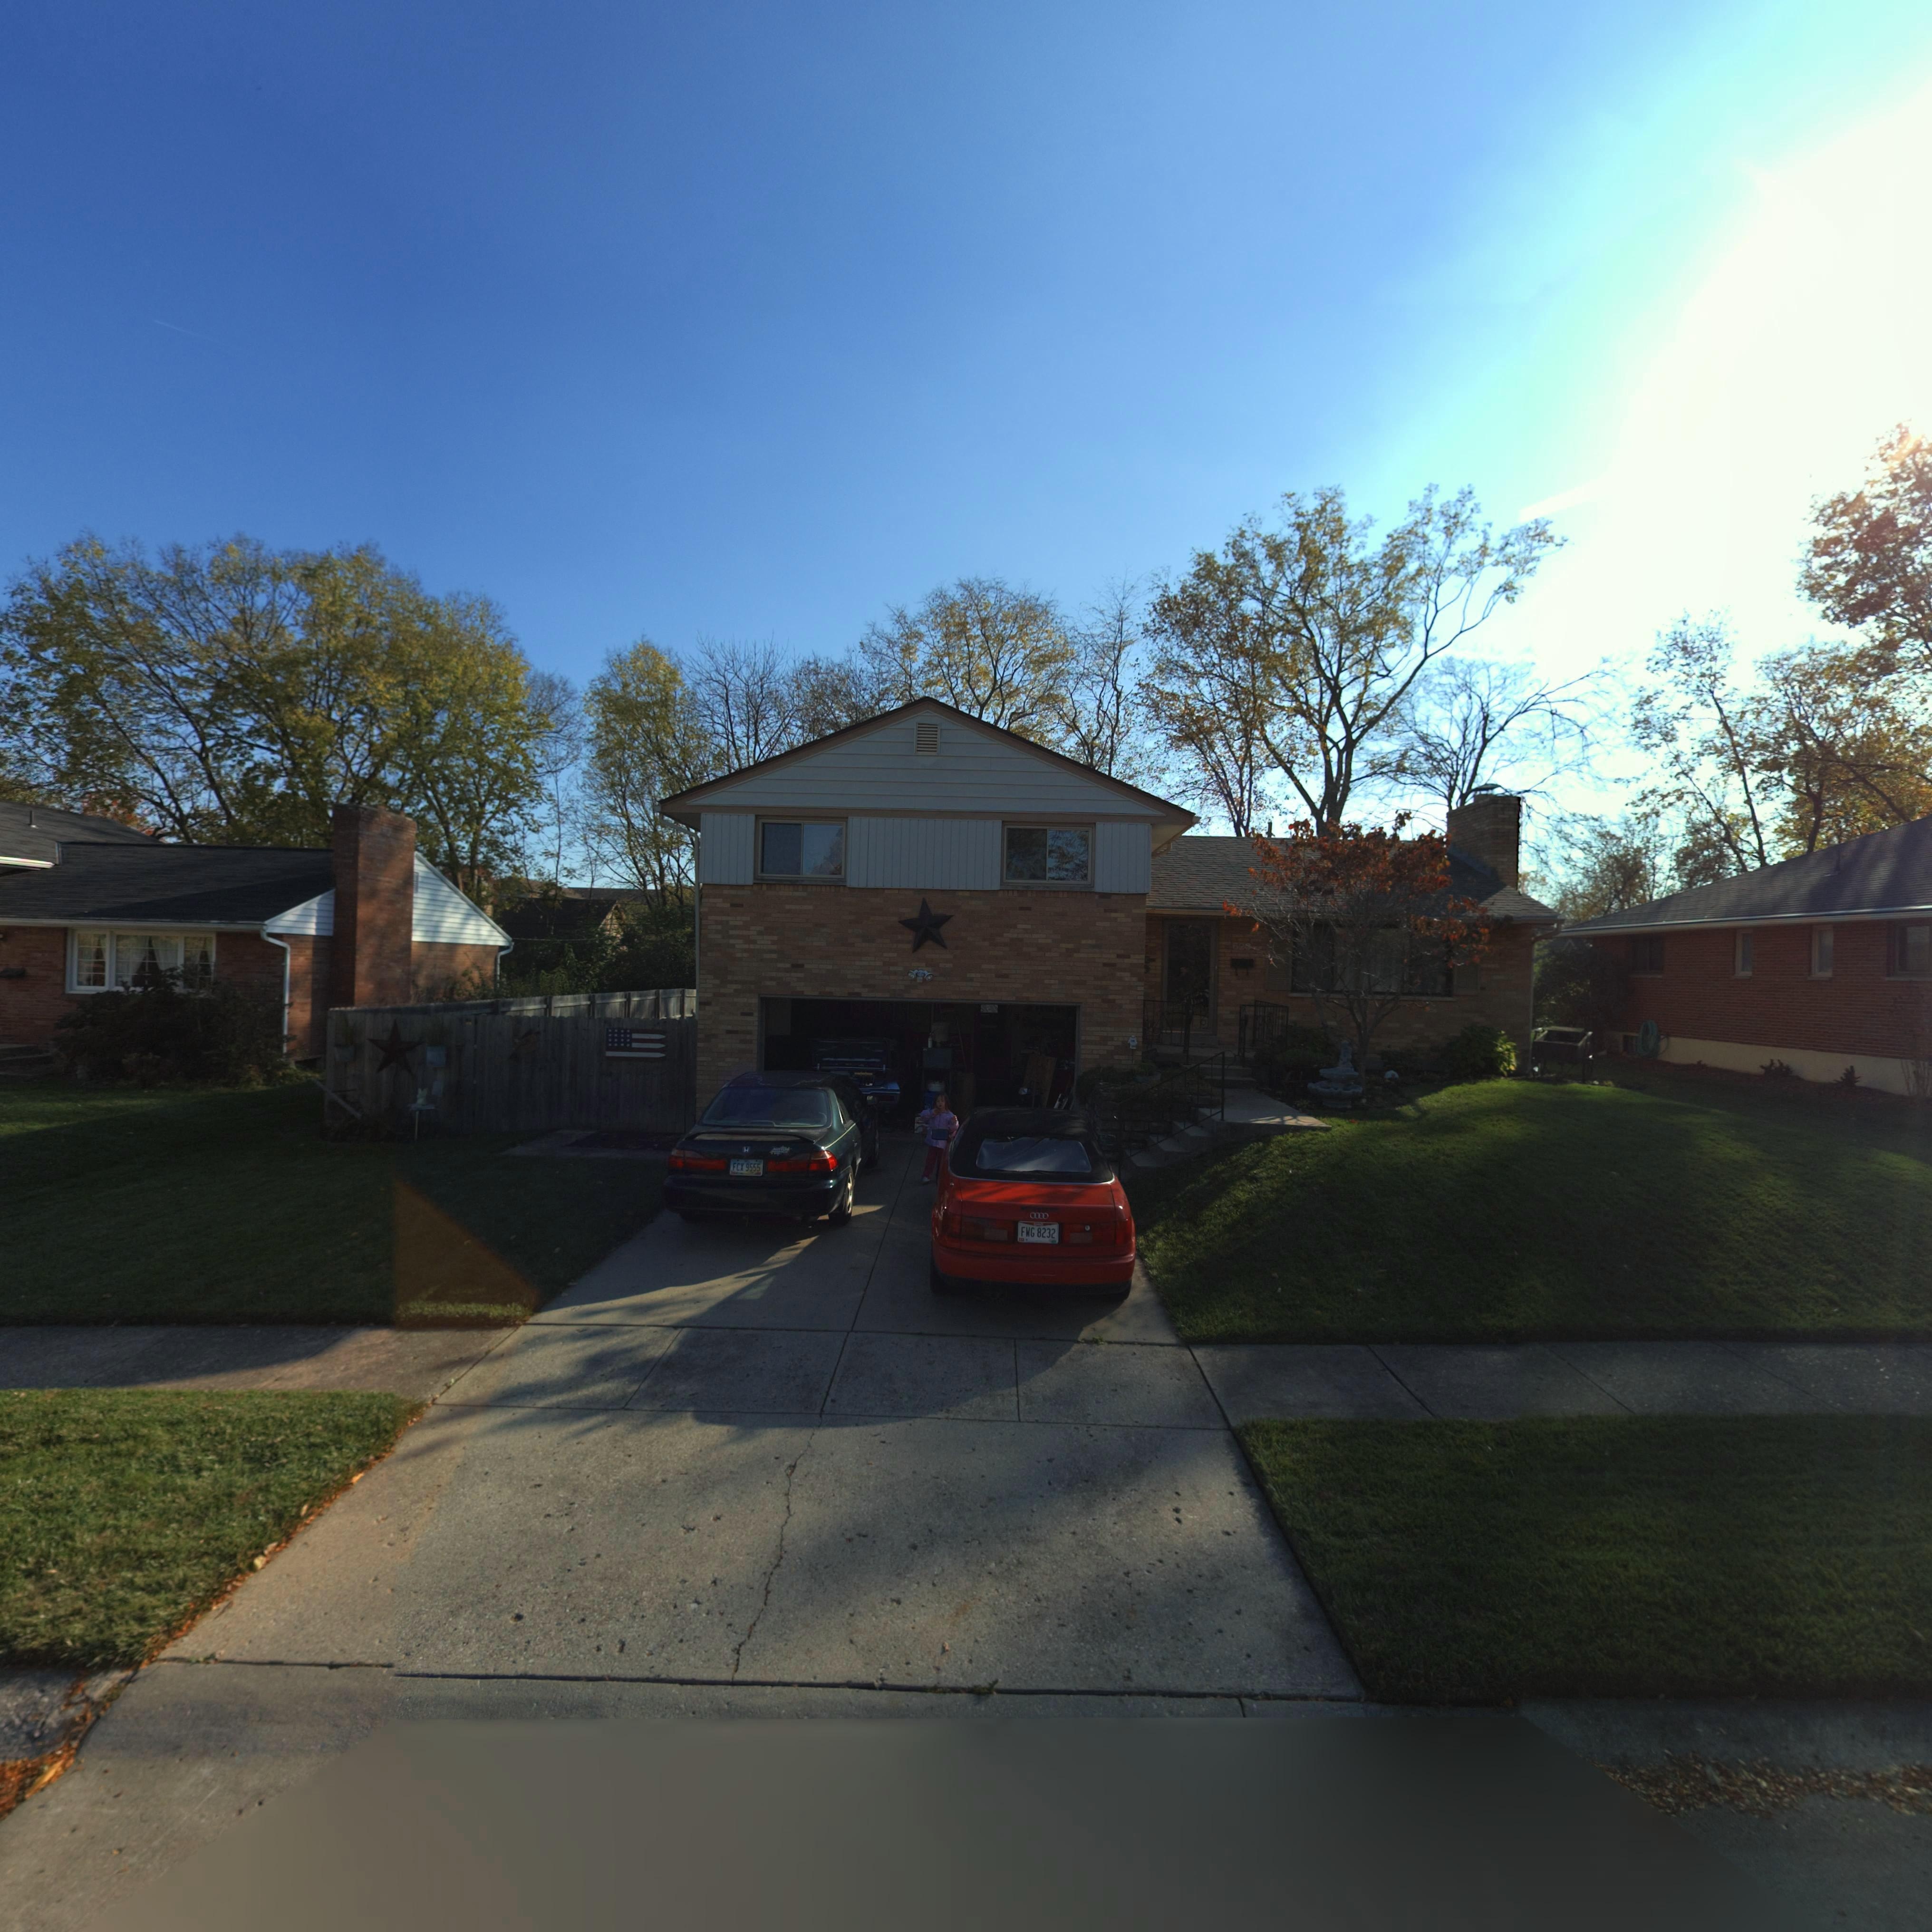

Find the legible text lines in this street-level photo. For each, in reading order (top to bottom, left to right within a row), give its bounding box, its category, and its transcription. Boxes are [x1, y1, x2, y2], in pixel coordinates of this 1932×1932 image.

[1232, 942, 1252, 951] StreetNumber: 62*